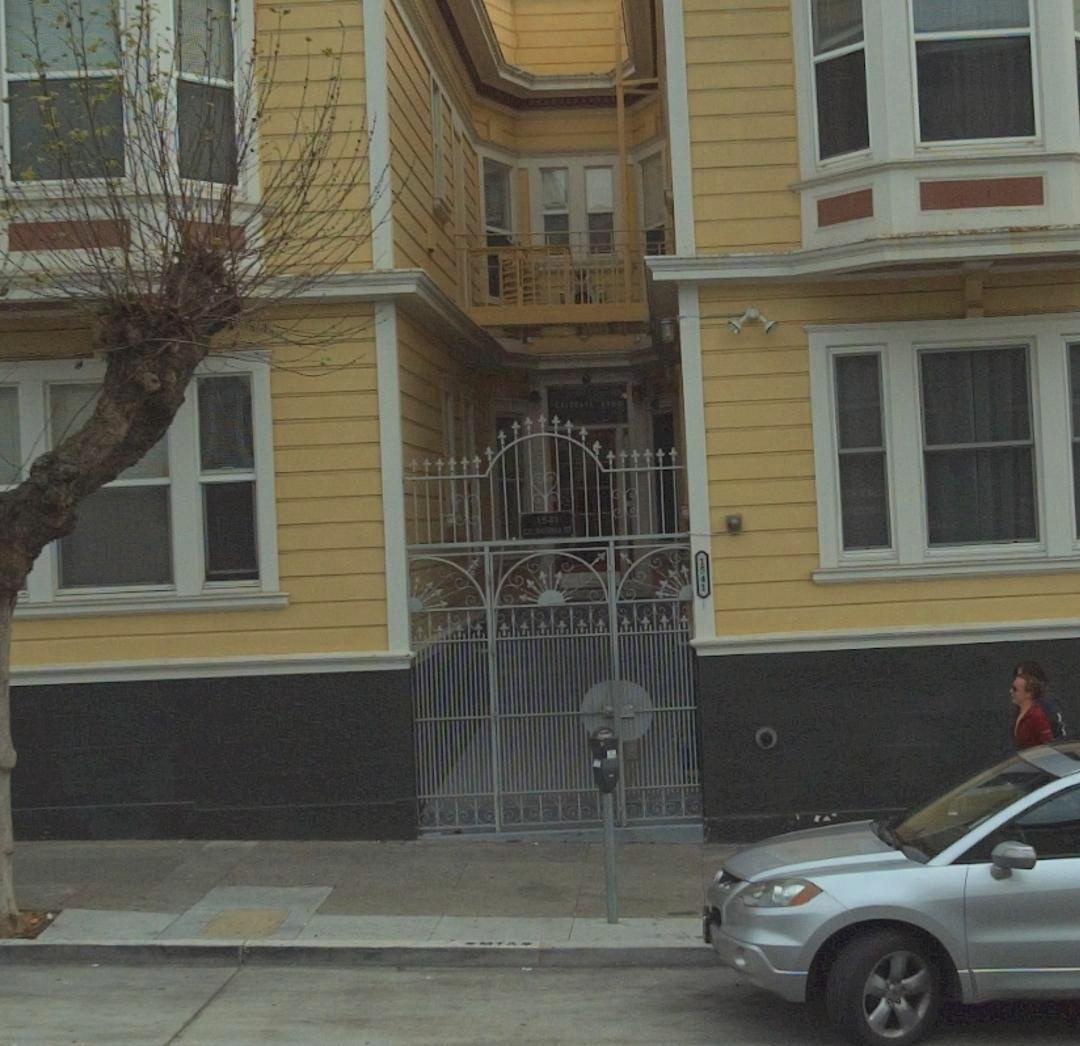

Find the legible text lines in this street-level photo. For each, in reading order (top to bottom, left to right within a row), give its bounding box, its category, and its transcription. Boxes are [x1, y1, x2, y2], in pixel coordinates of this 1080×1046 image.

[536, 514, 560, 525] StreetNumber: 1541
[521, 525, 573, 536] StreetName: CALIFORNIA ST